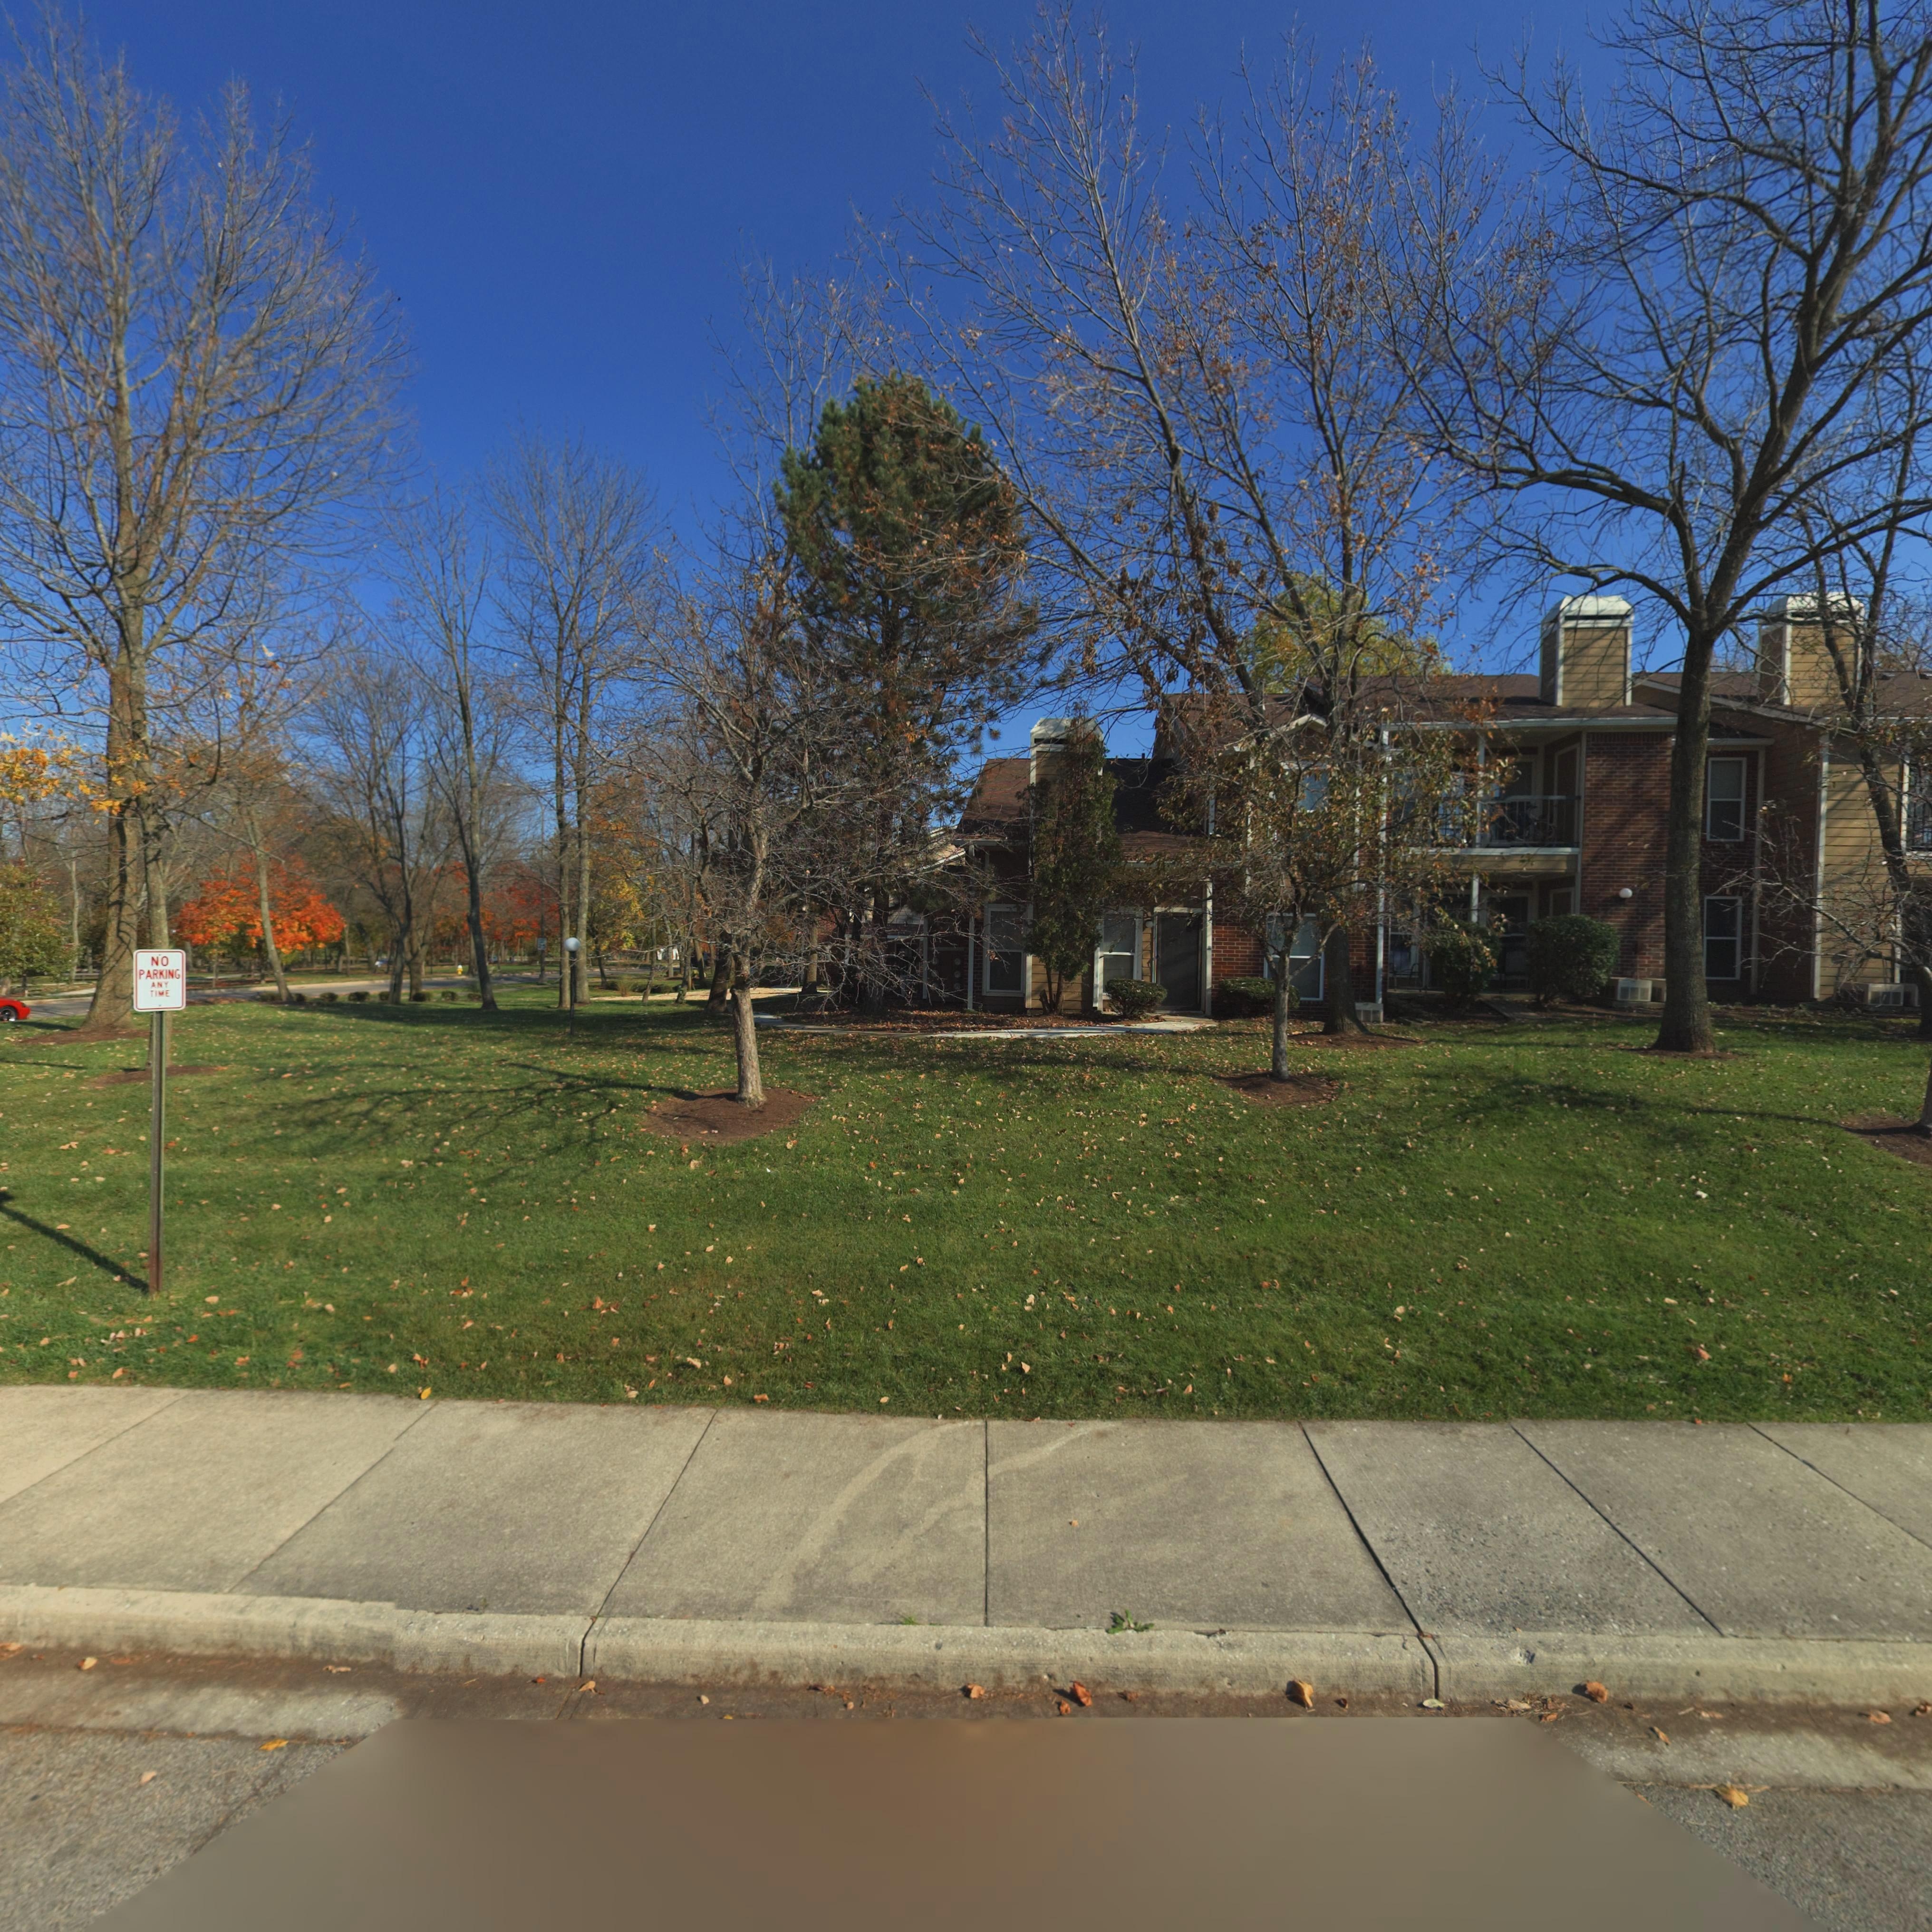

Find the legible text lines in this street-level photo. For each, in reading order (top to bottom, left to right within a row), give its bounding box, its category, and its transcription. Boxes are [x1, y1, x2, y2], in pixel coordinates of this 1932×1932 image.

[150, 956, 169, 966] None: NO
[138, 969, 181, 979] None: PARKING
[150, 981, 169, 988] None: ANY
[150, 990, 170, 998] None: TIME